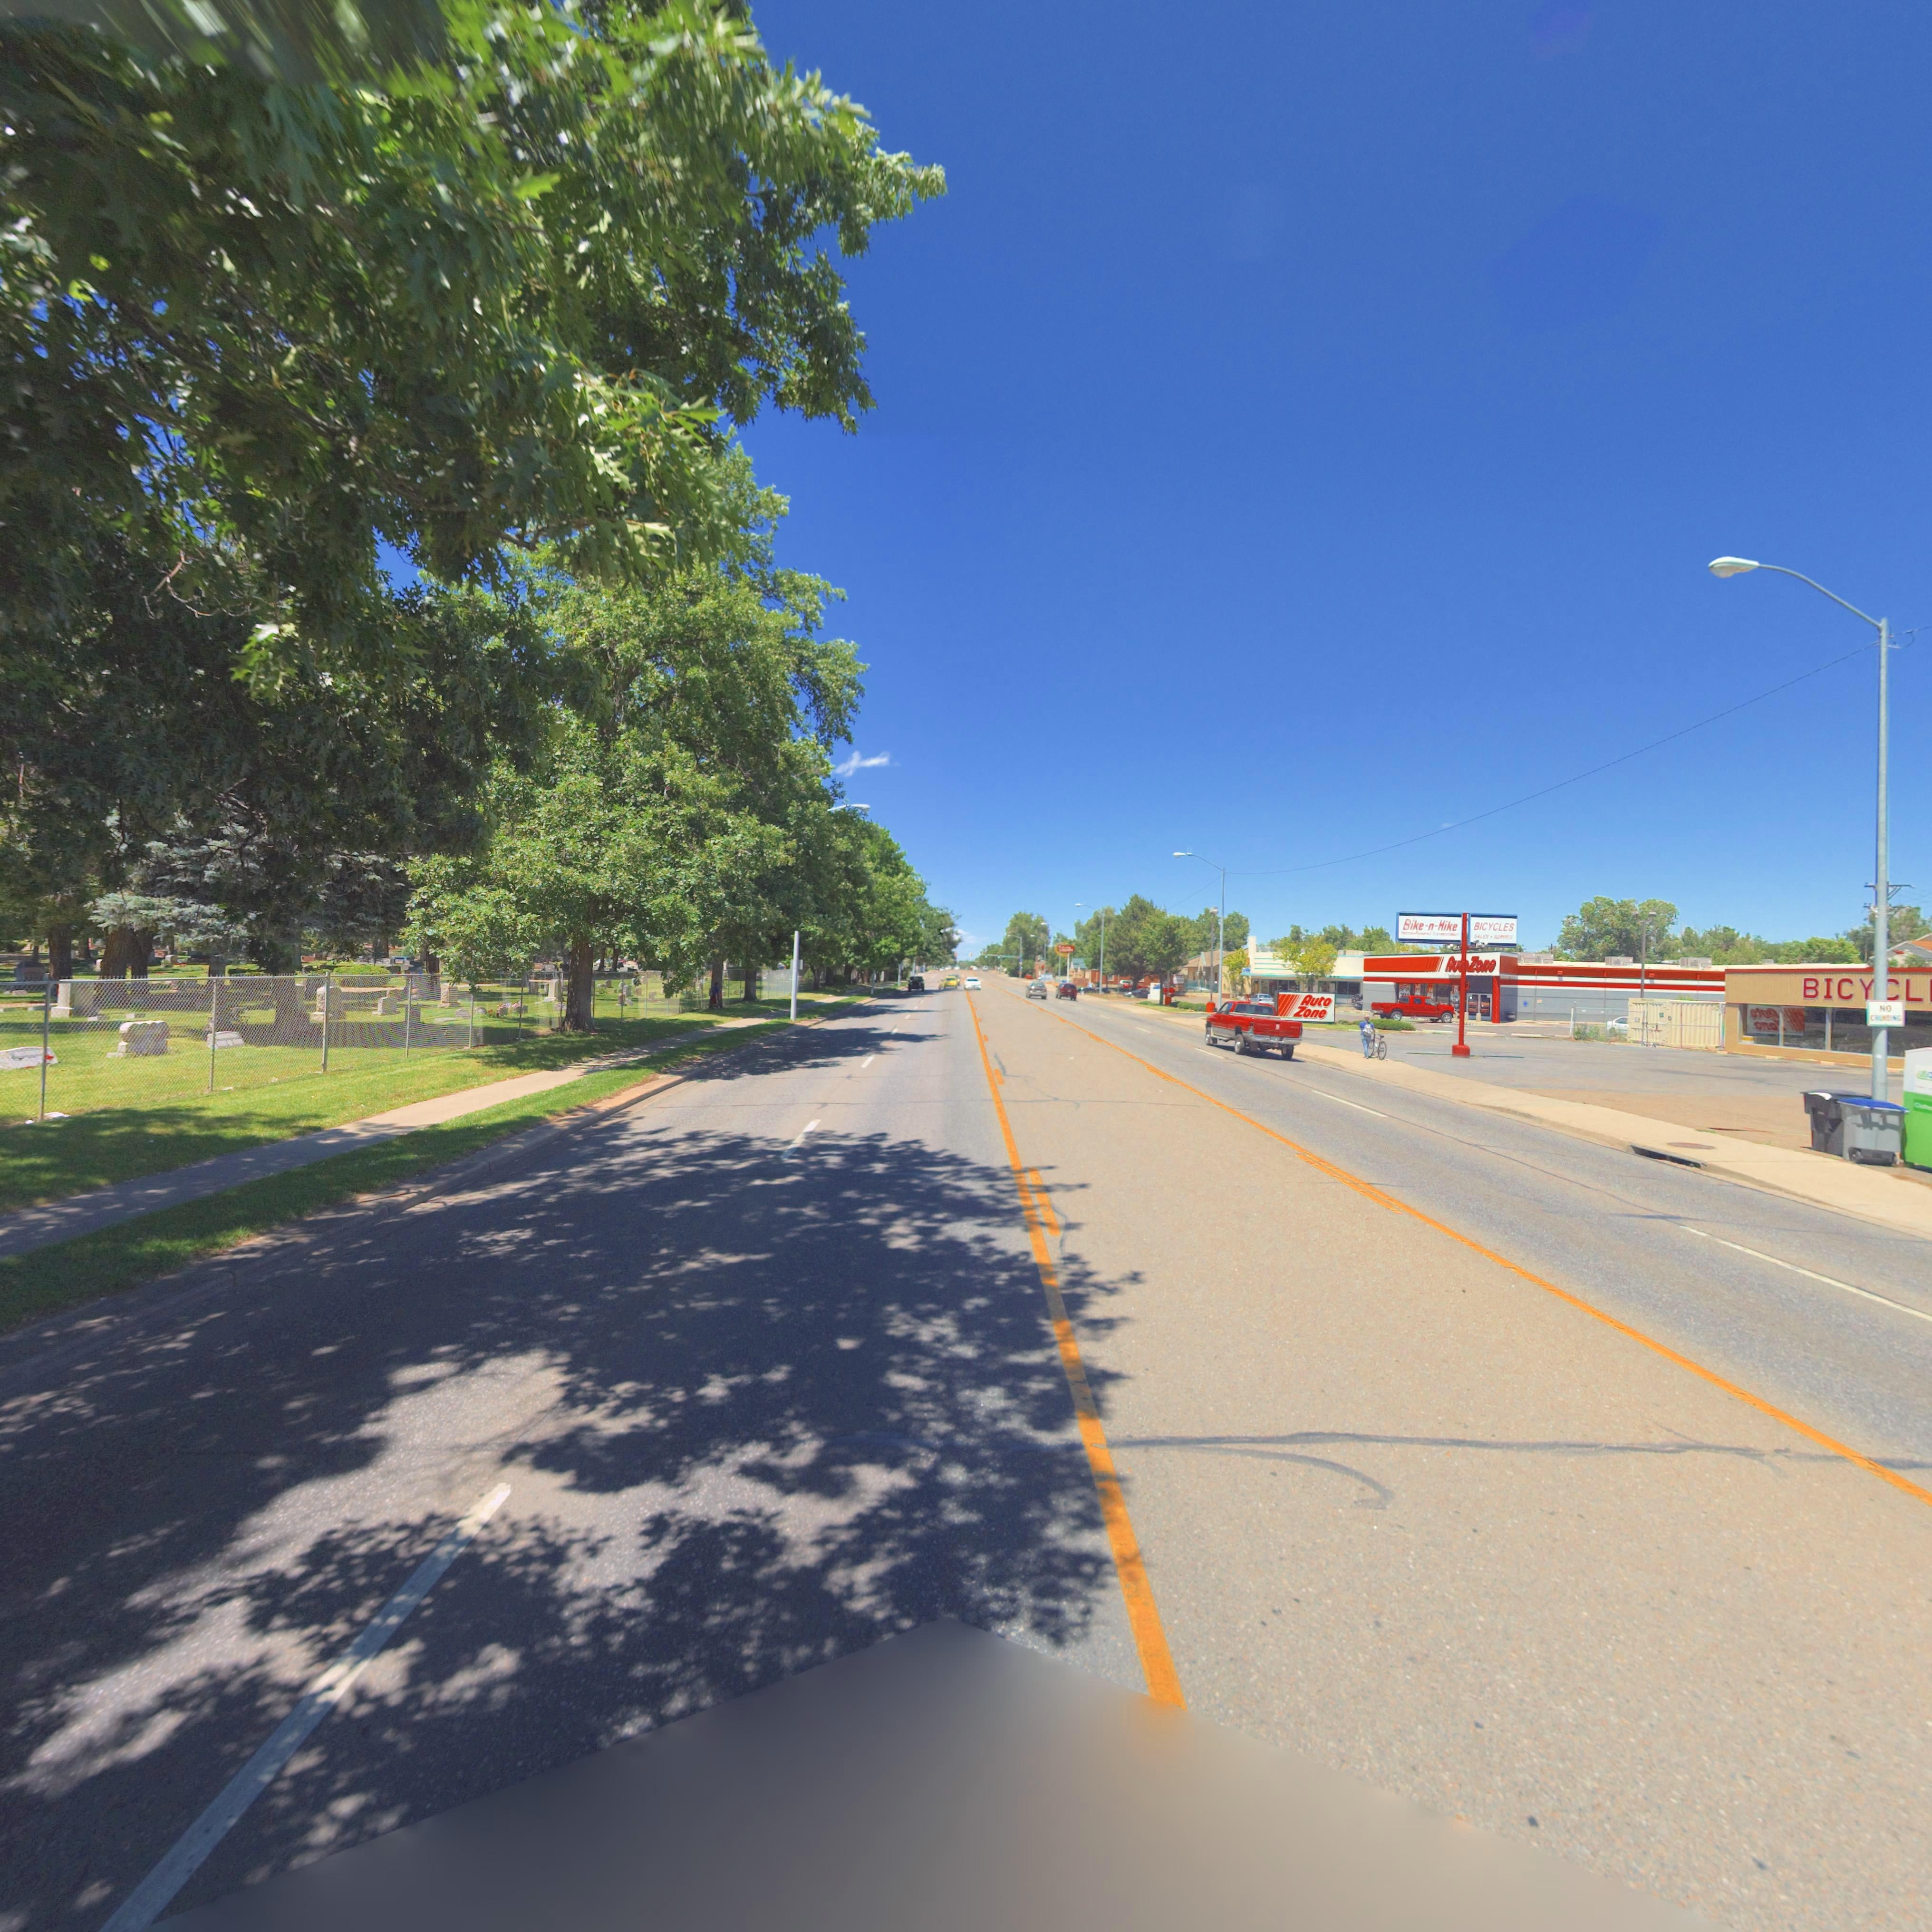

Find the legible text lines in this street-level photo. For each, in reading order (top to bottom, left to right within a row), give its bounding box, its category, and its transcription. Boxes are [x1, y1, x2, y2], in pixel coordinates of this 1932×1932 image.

[1444, 955, 1496, 972] BusinessName: Au**Zone
[1298, 993, 1332, 1009] BusinessName: Auto
[1291, 1005, 1328, 1020] BusinessName: Zone